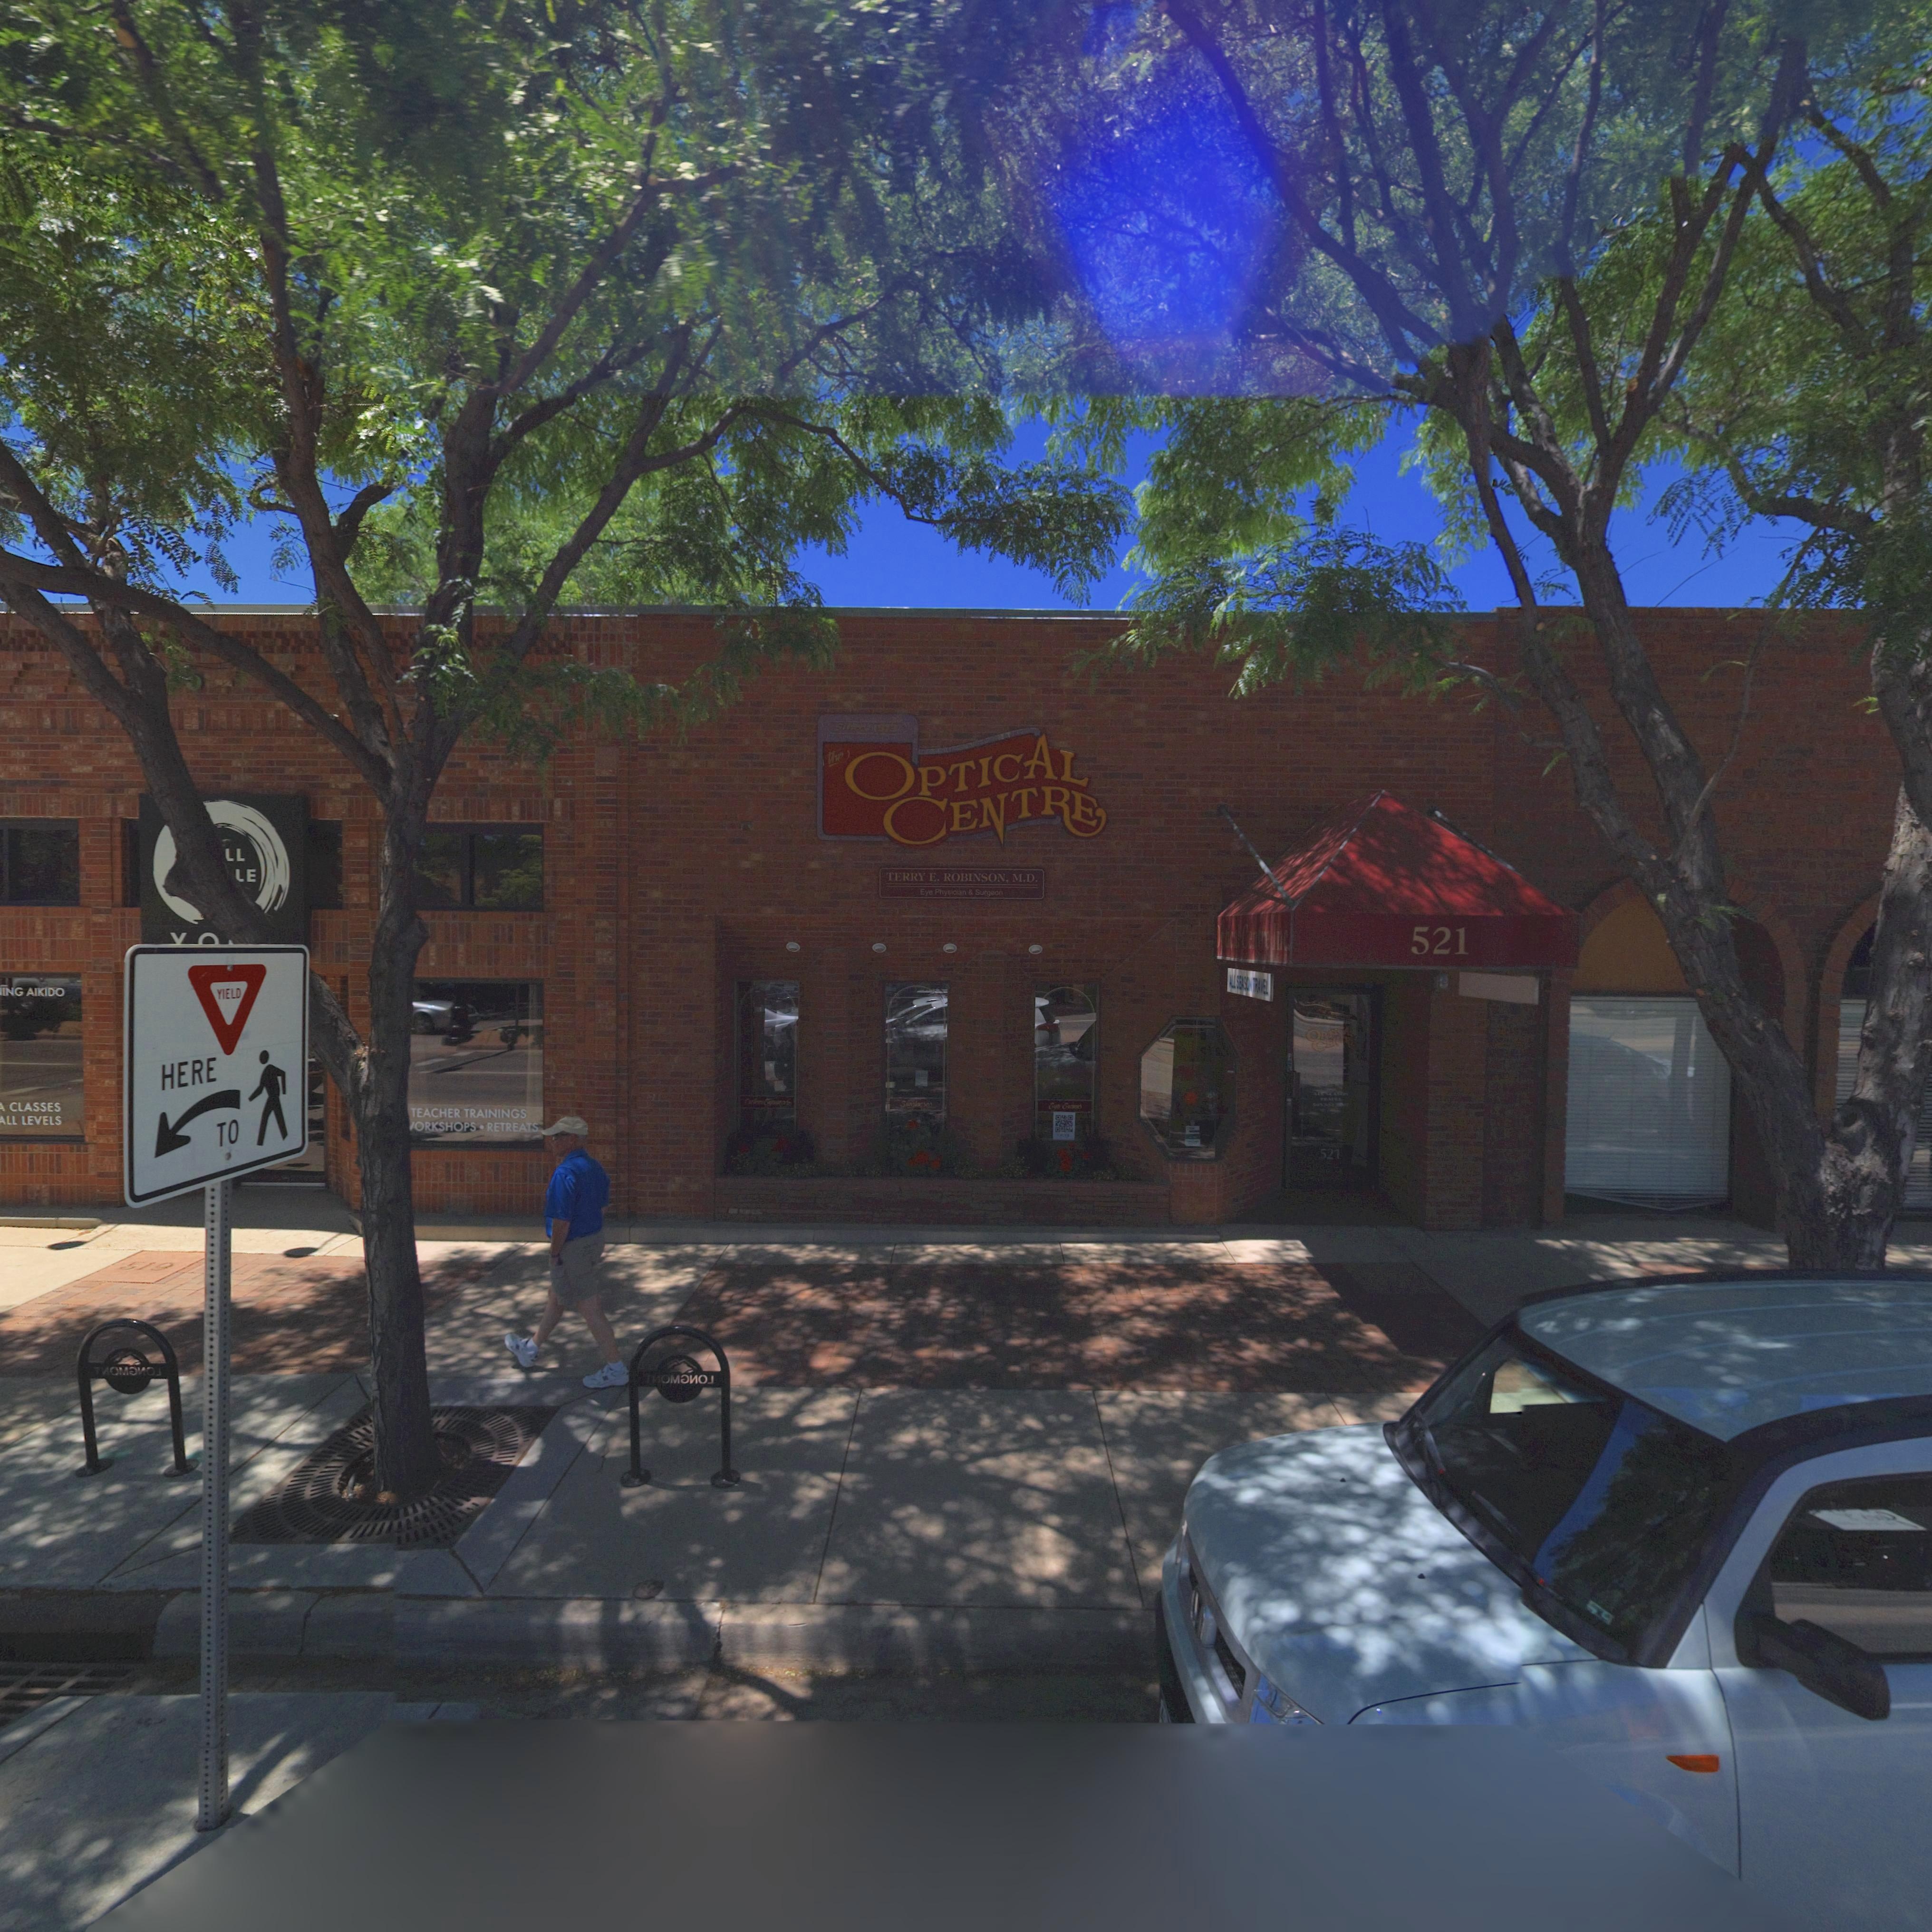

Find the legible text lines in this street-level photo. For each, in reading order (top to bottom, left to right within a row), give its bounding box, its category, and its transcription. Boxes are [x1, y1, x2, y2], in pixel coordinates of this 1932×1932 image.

[842, 732, 1091, 803] BusinessName: OPTICAL
[882, 784, 1108, 849] BusinessName: CENTRE
[220, 846, 246, 861] BusinessName: LL
[232, 868, 257, 883] BusinessName: LE
[1219, 921, 1289, 956] BusinessName: ptical Centre Inc.
[1410, 925, 1468, 956] StreetNumber: 521
[1228, 973, 1269, 996] BusinessName: ALL SEASON TRAVEL
[1305, 1024, 1352, 1042] StreetName: OPTICAL
[1311, 1034, 1358, 1053] BusinessName: CENTRE
[1319, 1147, 1340, 1160] StreetNumber: 521
[118, 1260, 174, 1272] StreetNumber: 519